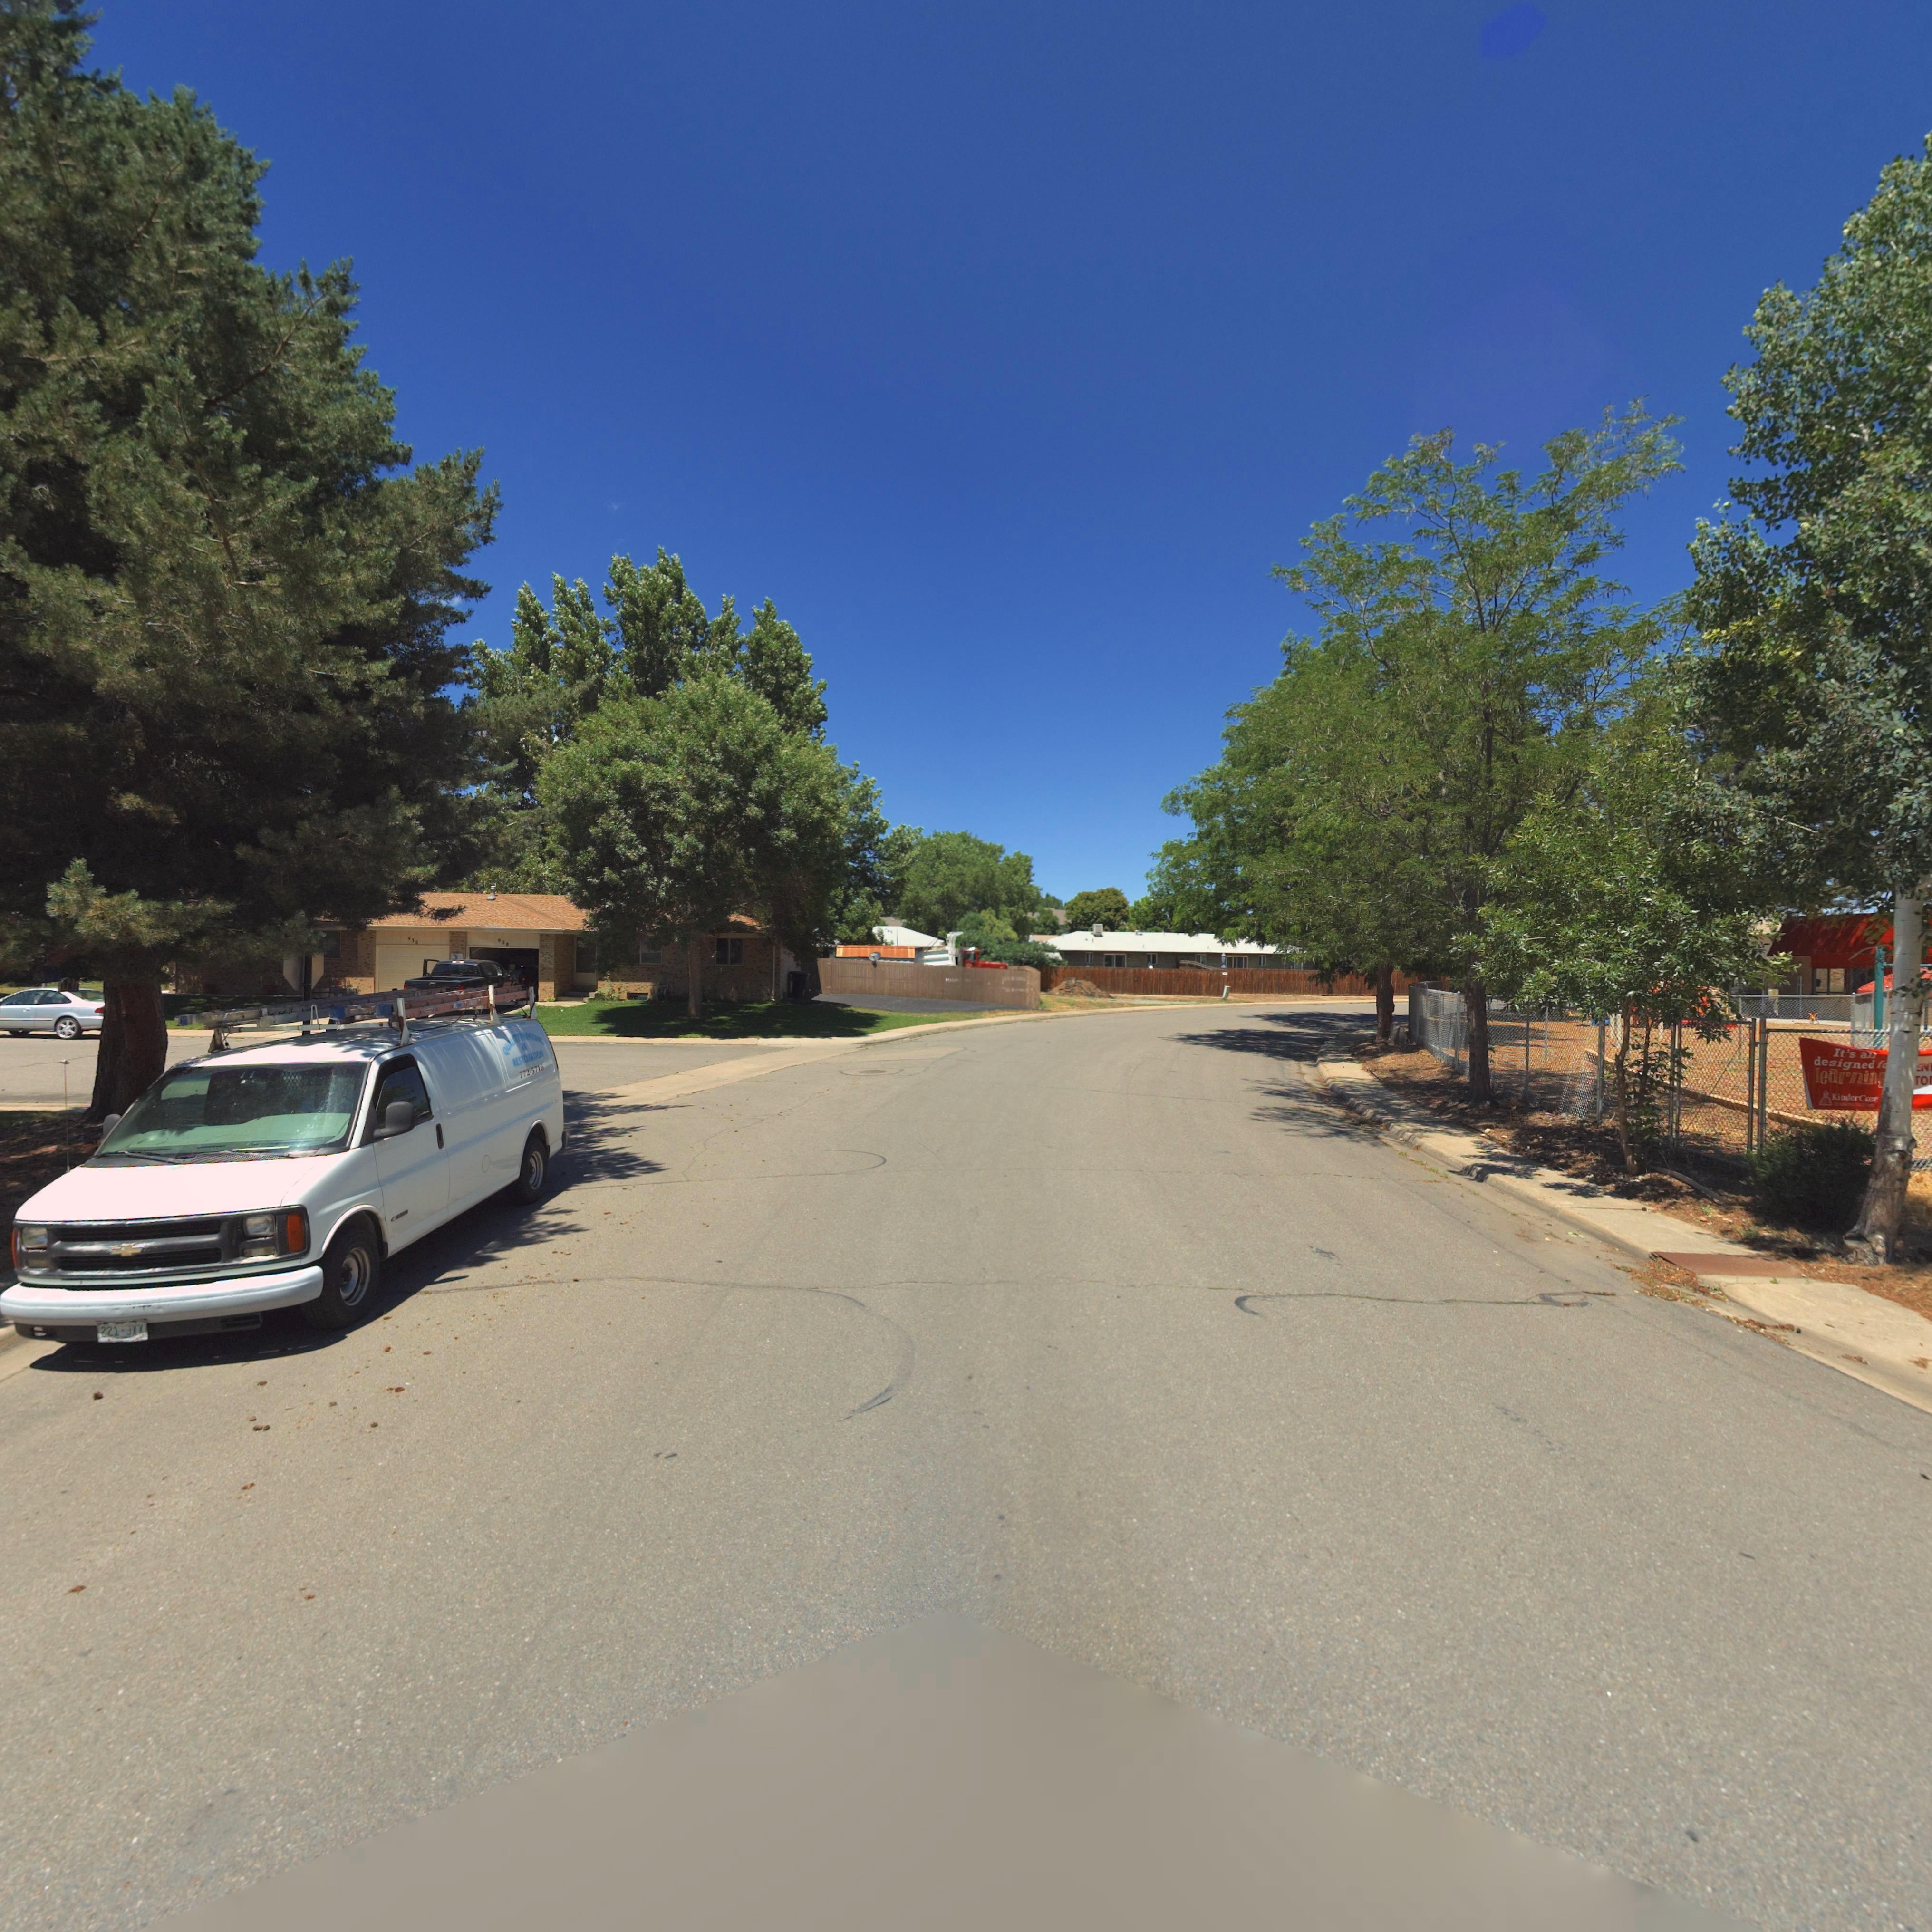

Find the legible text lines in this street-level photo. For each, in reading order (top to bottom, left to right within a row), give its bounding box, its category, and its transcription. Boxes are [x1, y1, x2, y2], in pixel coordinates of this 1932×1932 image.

[497, 938, 509, 947] StreetNumber: 926